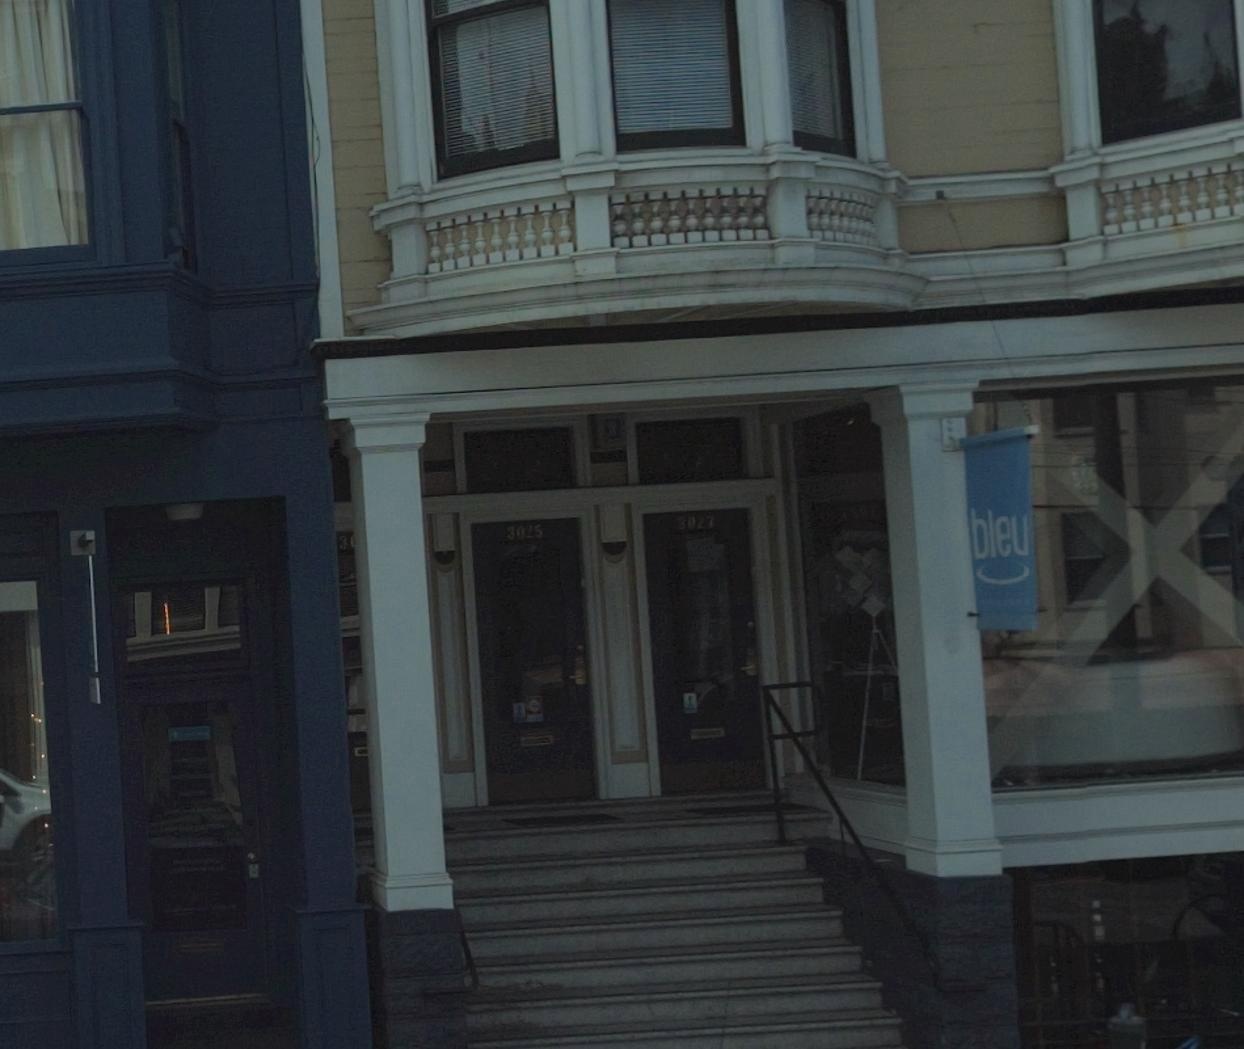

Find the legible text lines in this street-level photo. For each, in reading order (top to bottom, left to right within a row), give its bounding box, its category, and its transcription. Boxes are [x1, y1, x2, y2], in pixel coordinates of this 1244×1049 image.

[504, 521, 546, 543] StreetNumber: 3025
[674, 512, 717, 532] StreetNumber: 3027
[966, 504, 1034, 564] BusinessName: bleu